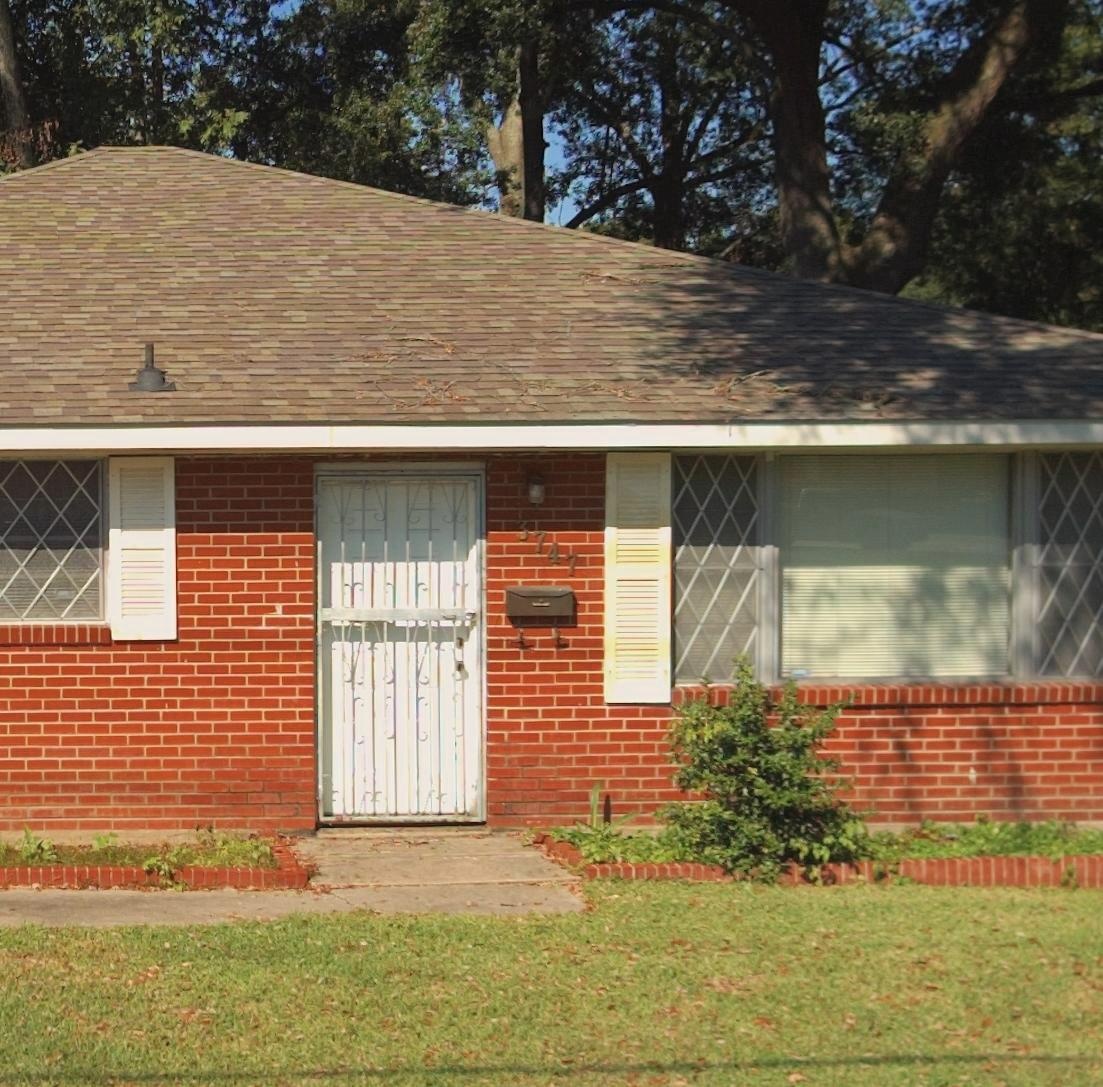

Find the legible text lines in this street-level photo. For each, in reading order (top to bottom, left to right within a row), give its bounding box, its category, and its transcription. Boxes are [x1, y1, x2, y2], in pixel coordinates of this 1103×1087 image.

[514, 518, 580, 579] StreetNumber: 3747